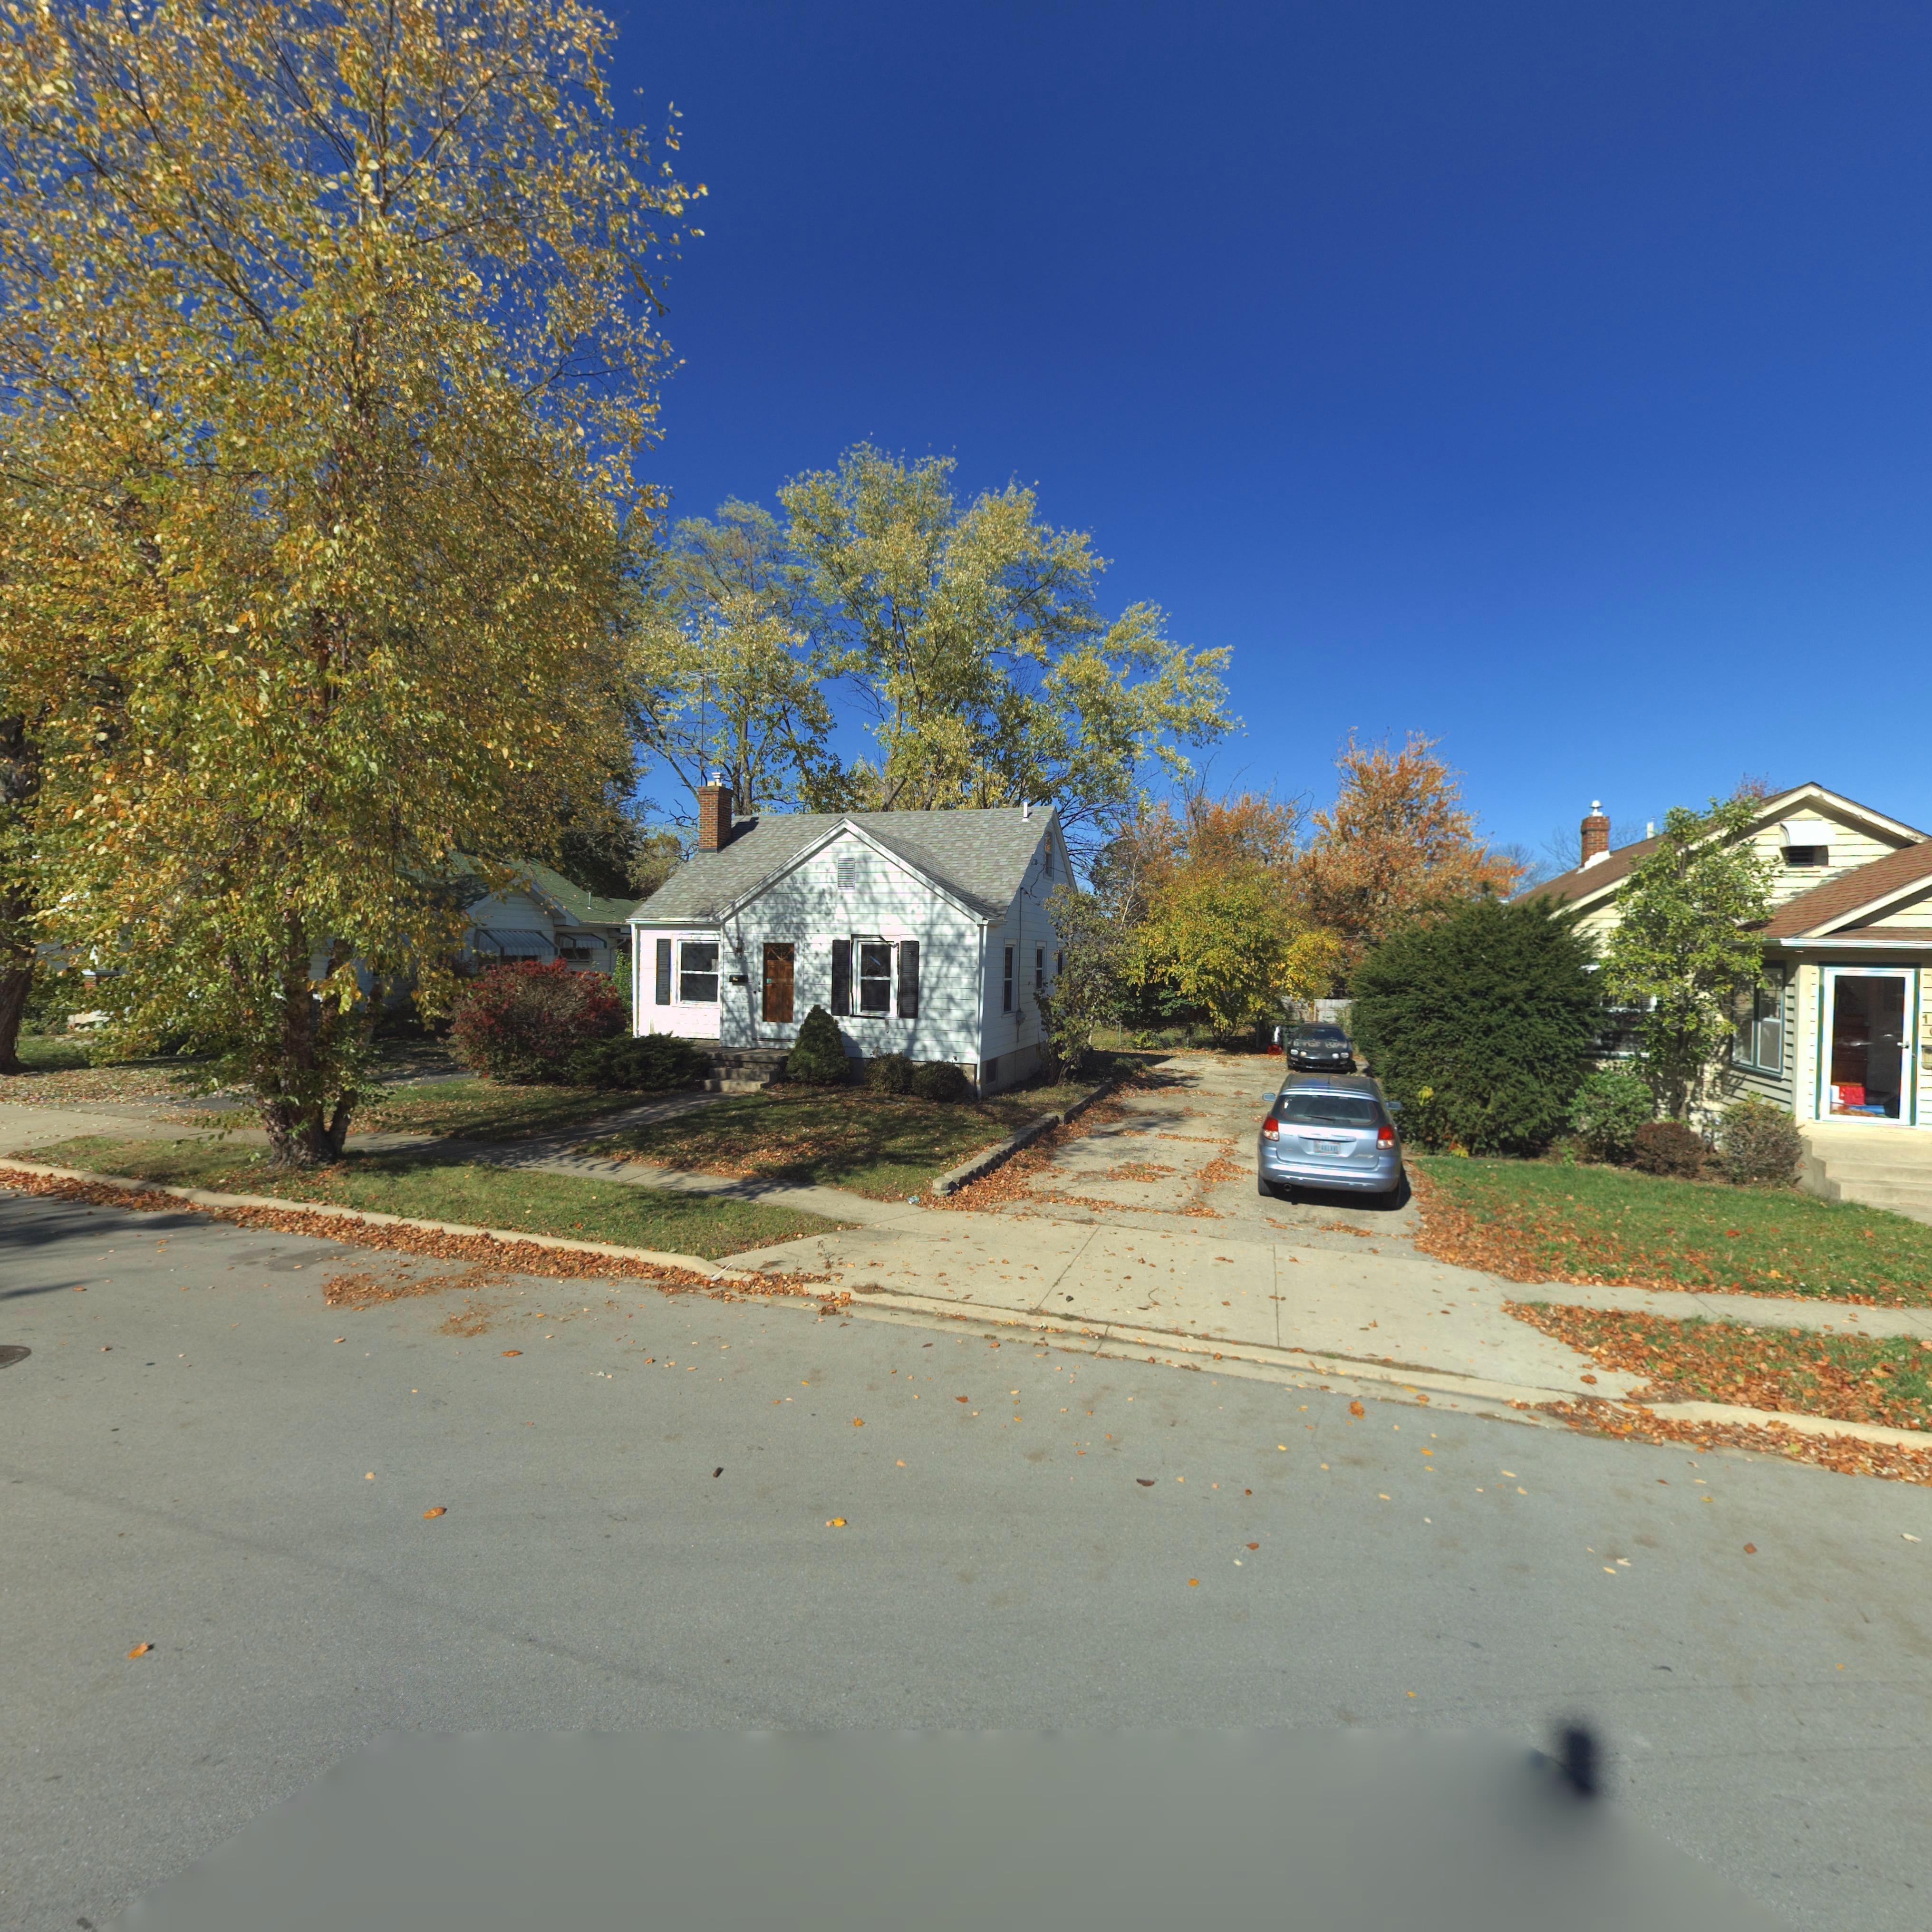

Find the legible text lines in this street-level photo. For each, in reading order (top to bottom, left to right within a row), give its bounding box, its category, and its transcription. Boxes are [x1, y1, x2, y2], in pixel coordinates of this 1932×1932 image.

[734, 951, 748, 963] StreetNumber: 103
[1922, 1013, 1928, 1025] StreetNumber: 1